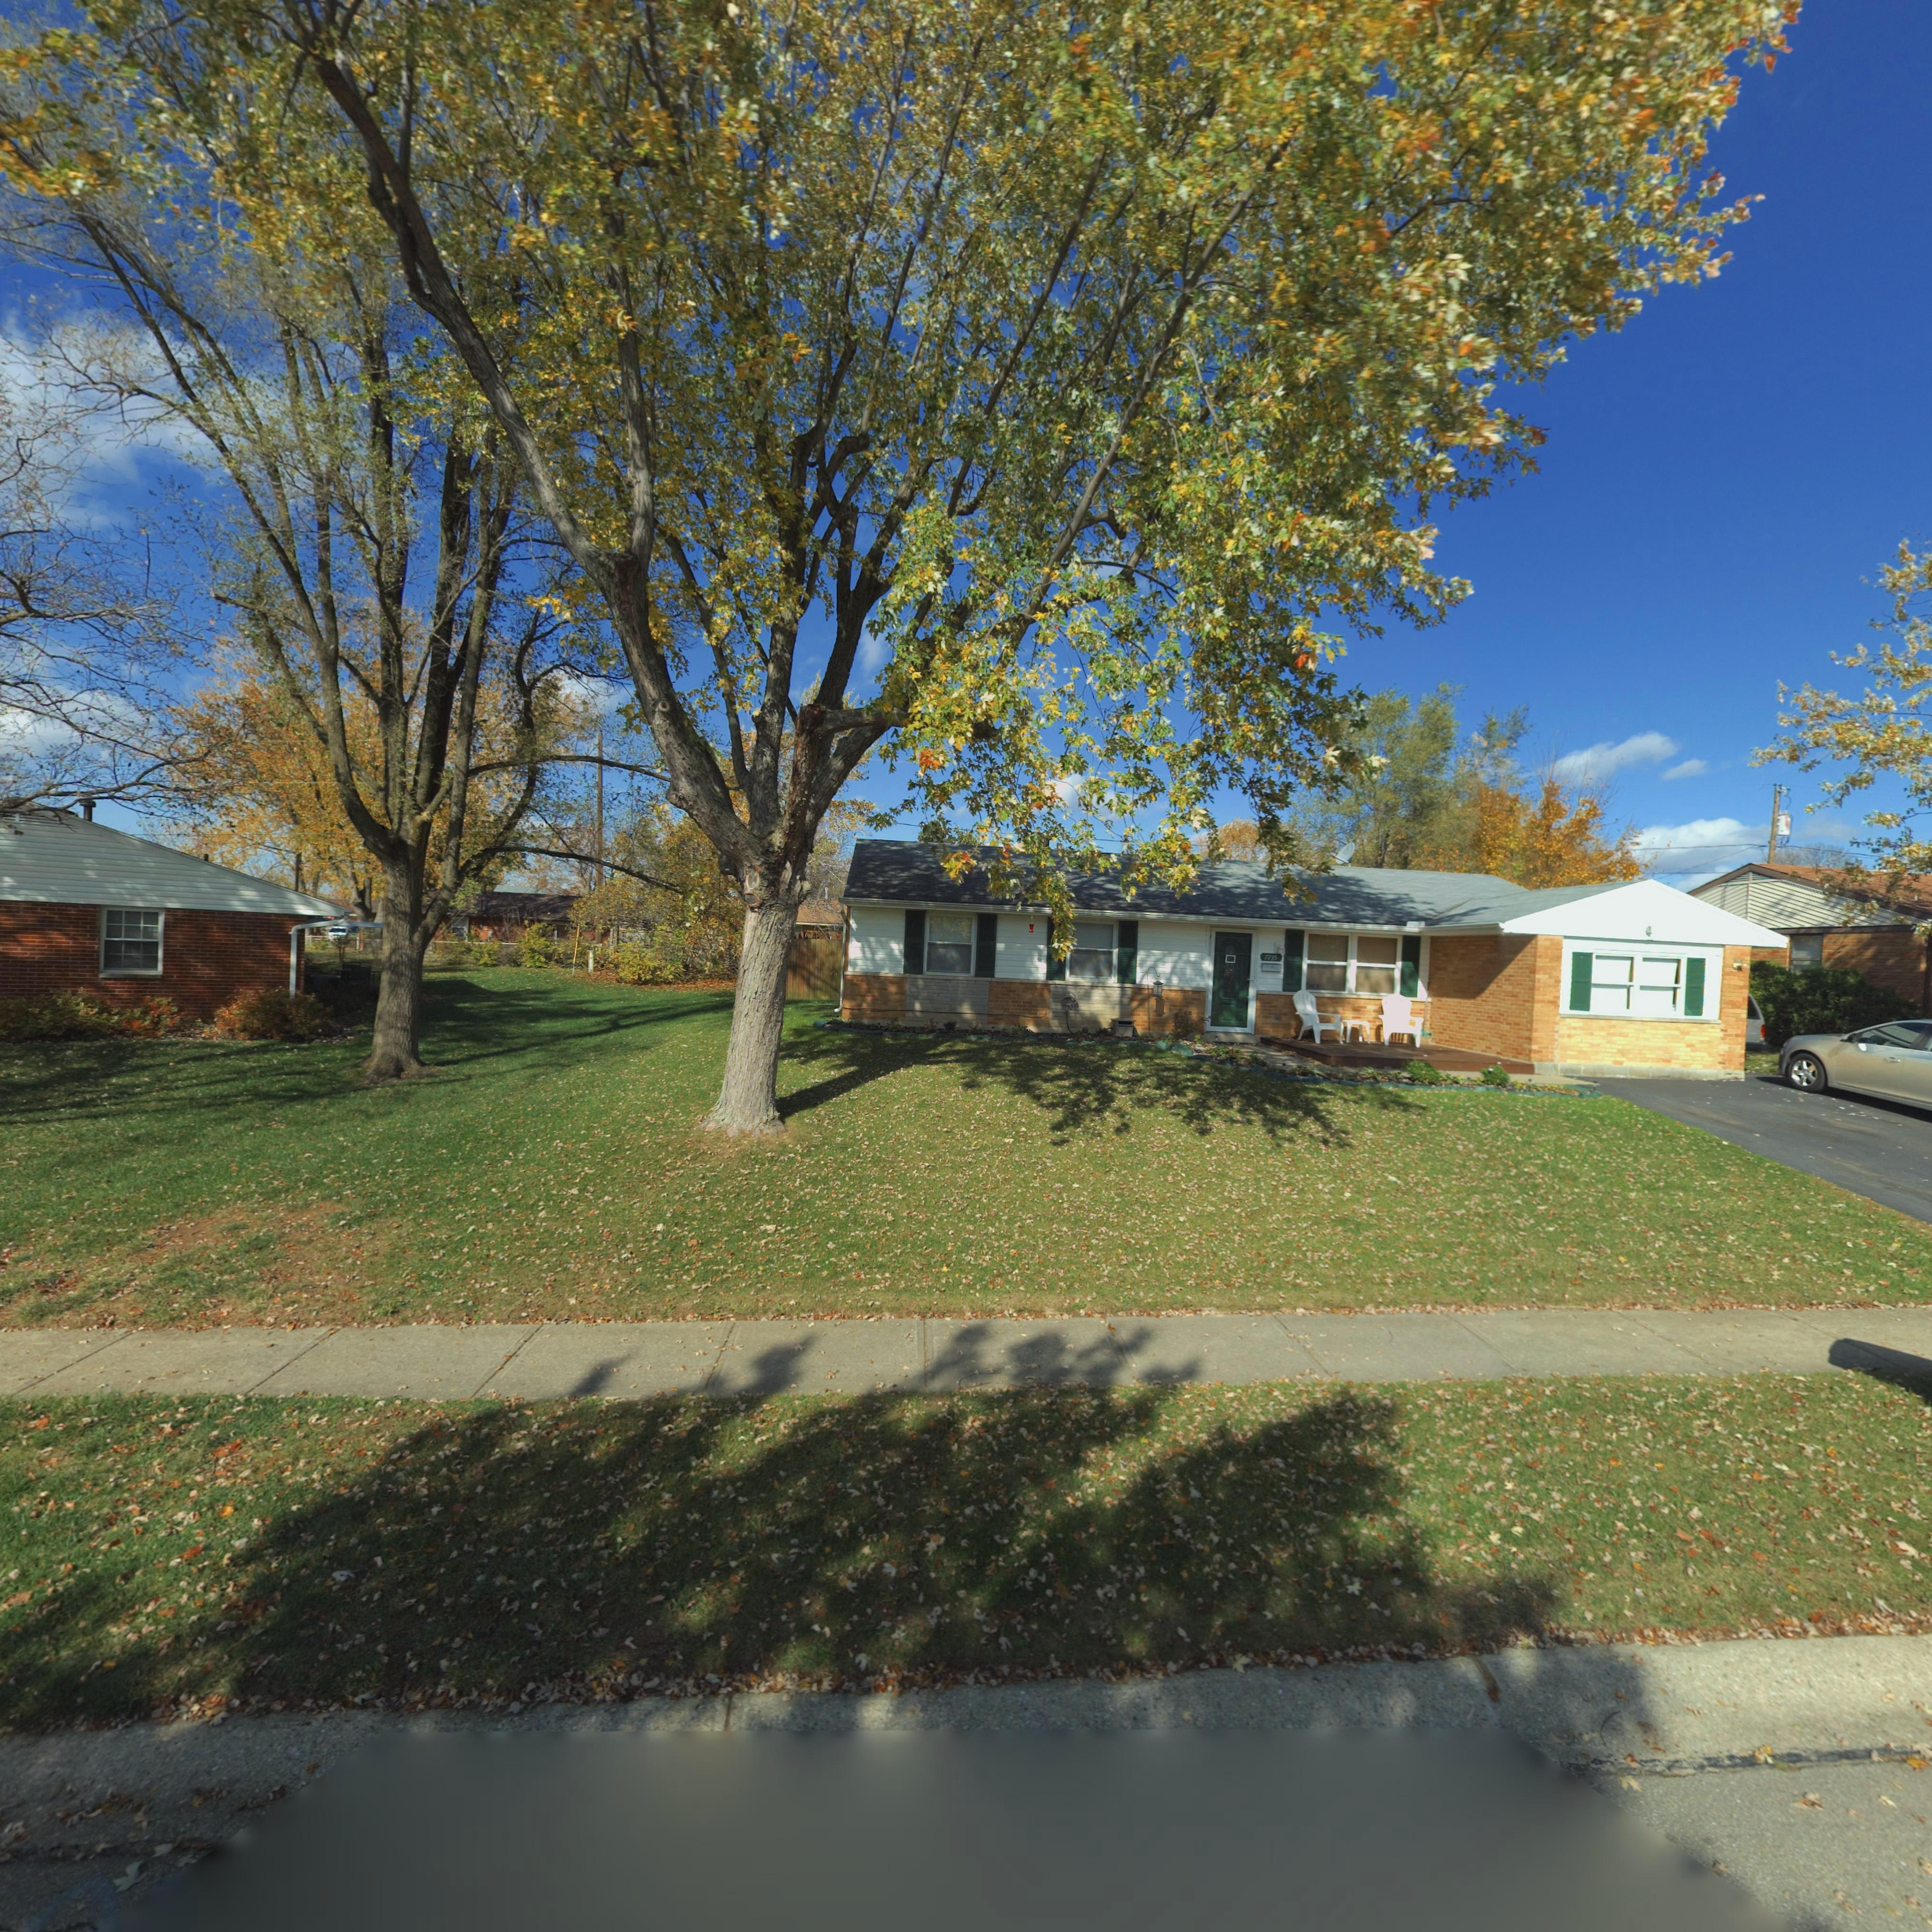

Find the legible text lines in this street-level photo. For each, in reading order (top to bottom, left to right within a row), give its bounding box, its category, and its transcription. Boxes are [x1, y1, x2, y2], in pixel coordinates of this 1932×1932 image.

[1264, 954, 1277, 961] StreetNumber: 7735